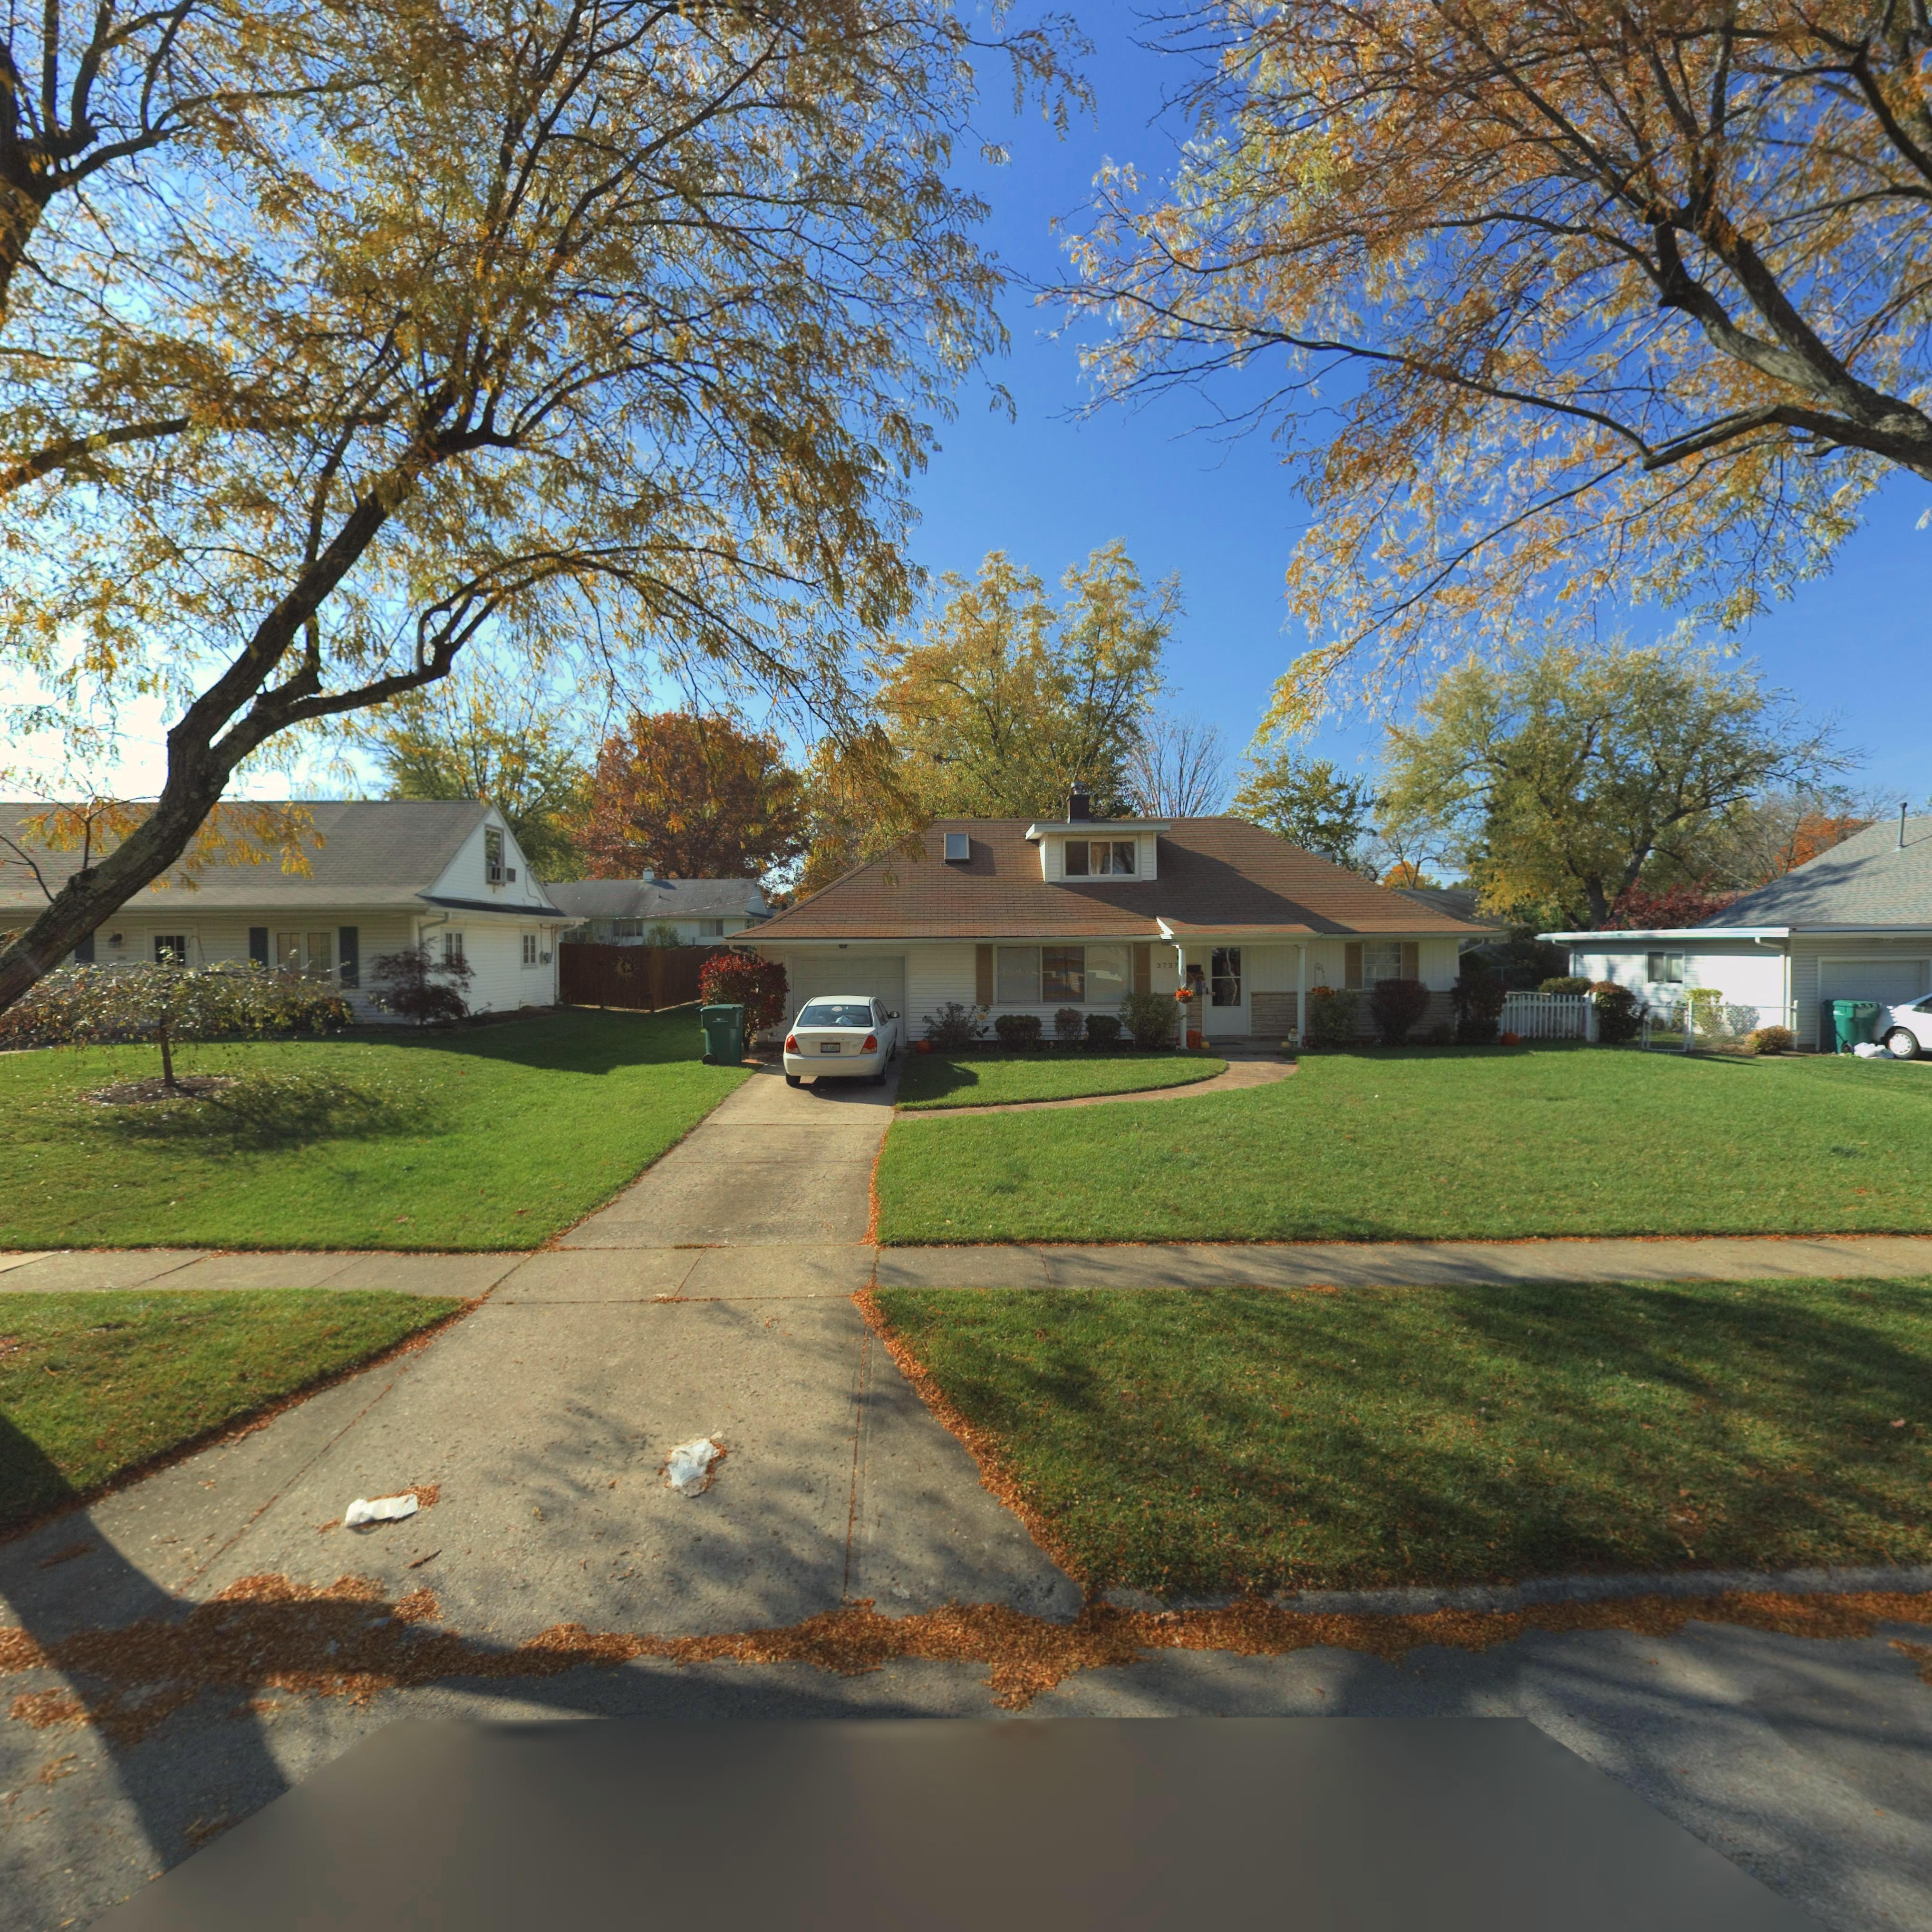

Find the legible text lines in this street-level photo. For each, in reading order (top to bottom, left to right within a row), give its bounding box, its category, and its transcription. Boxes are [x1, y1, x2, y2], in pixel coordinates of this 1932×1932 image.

[1156, 962, 1179, 968] StreetNumber: 3737
[715, 1018, 725, 1021] None: WM
[821, 1045, 839, 1051] None: DDA**801